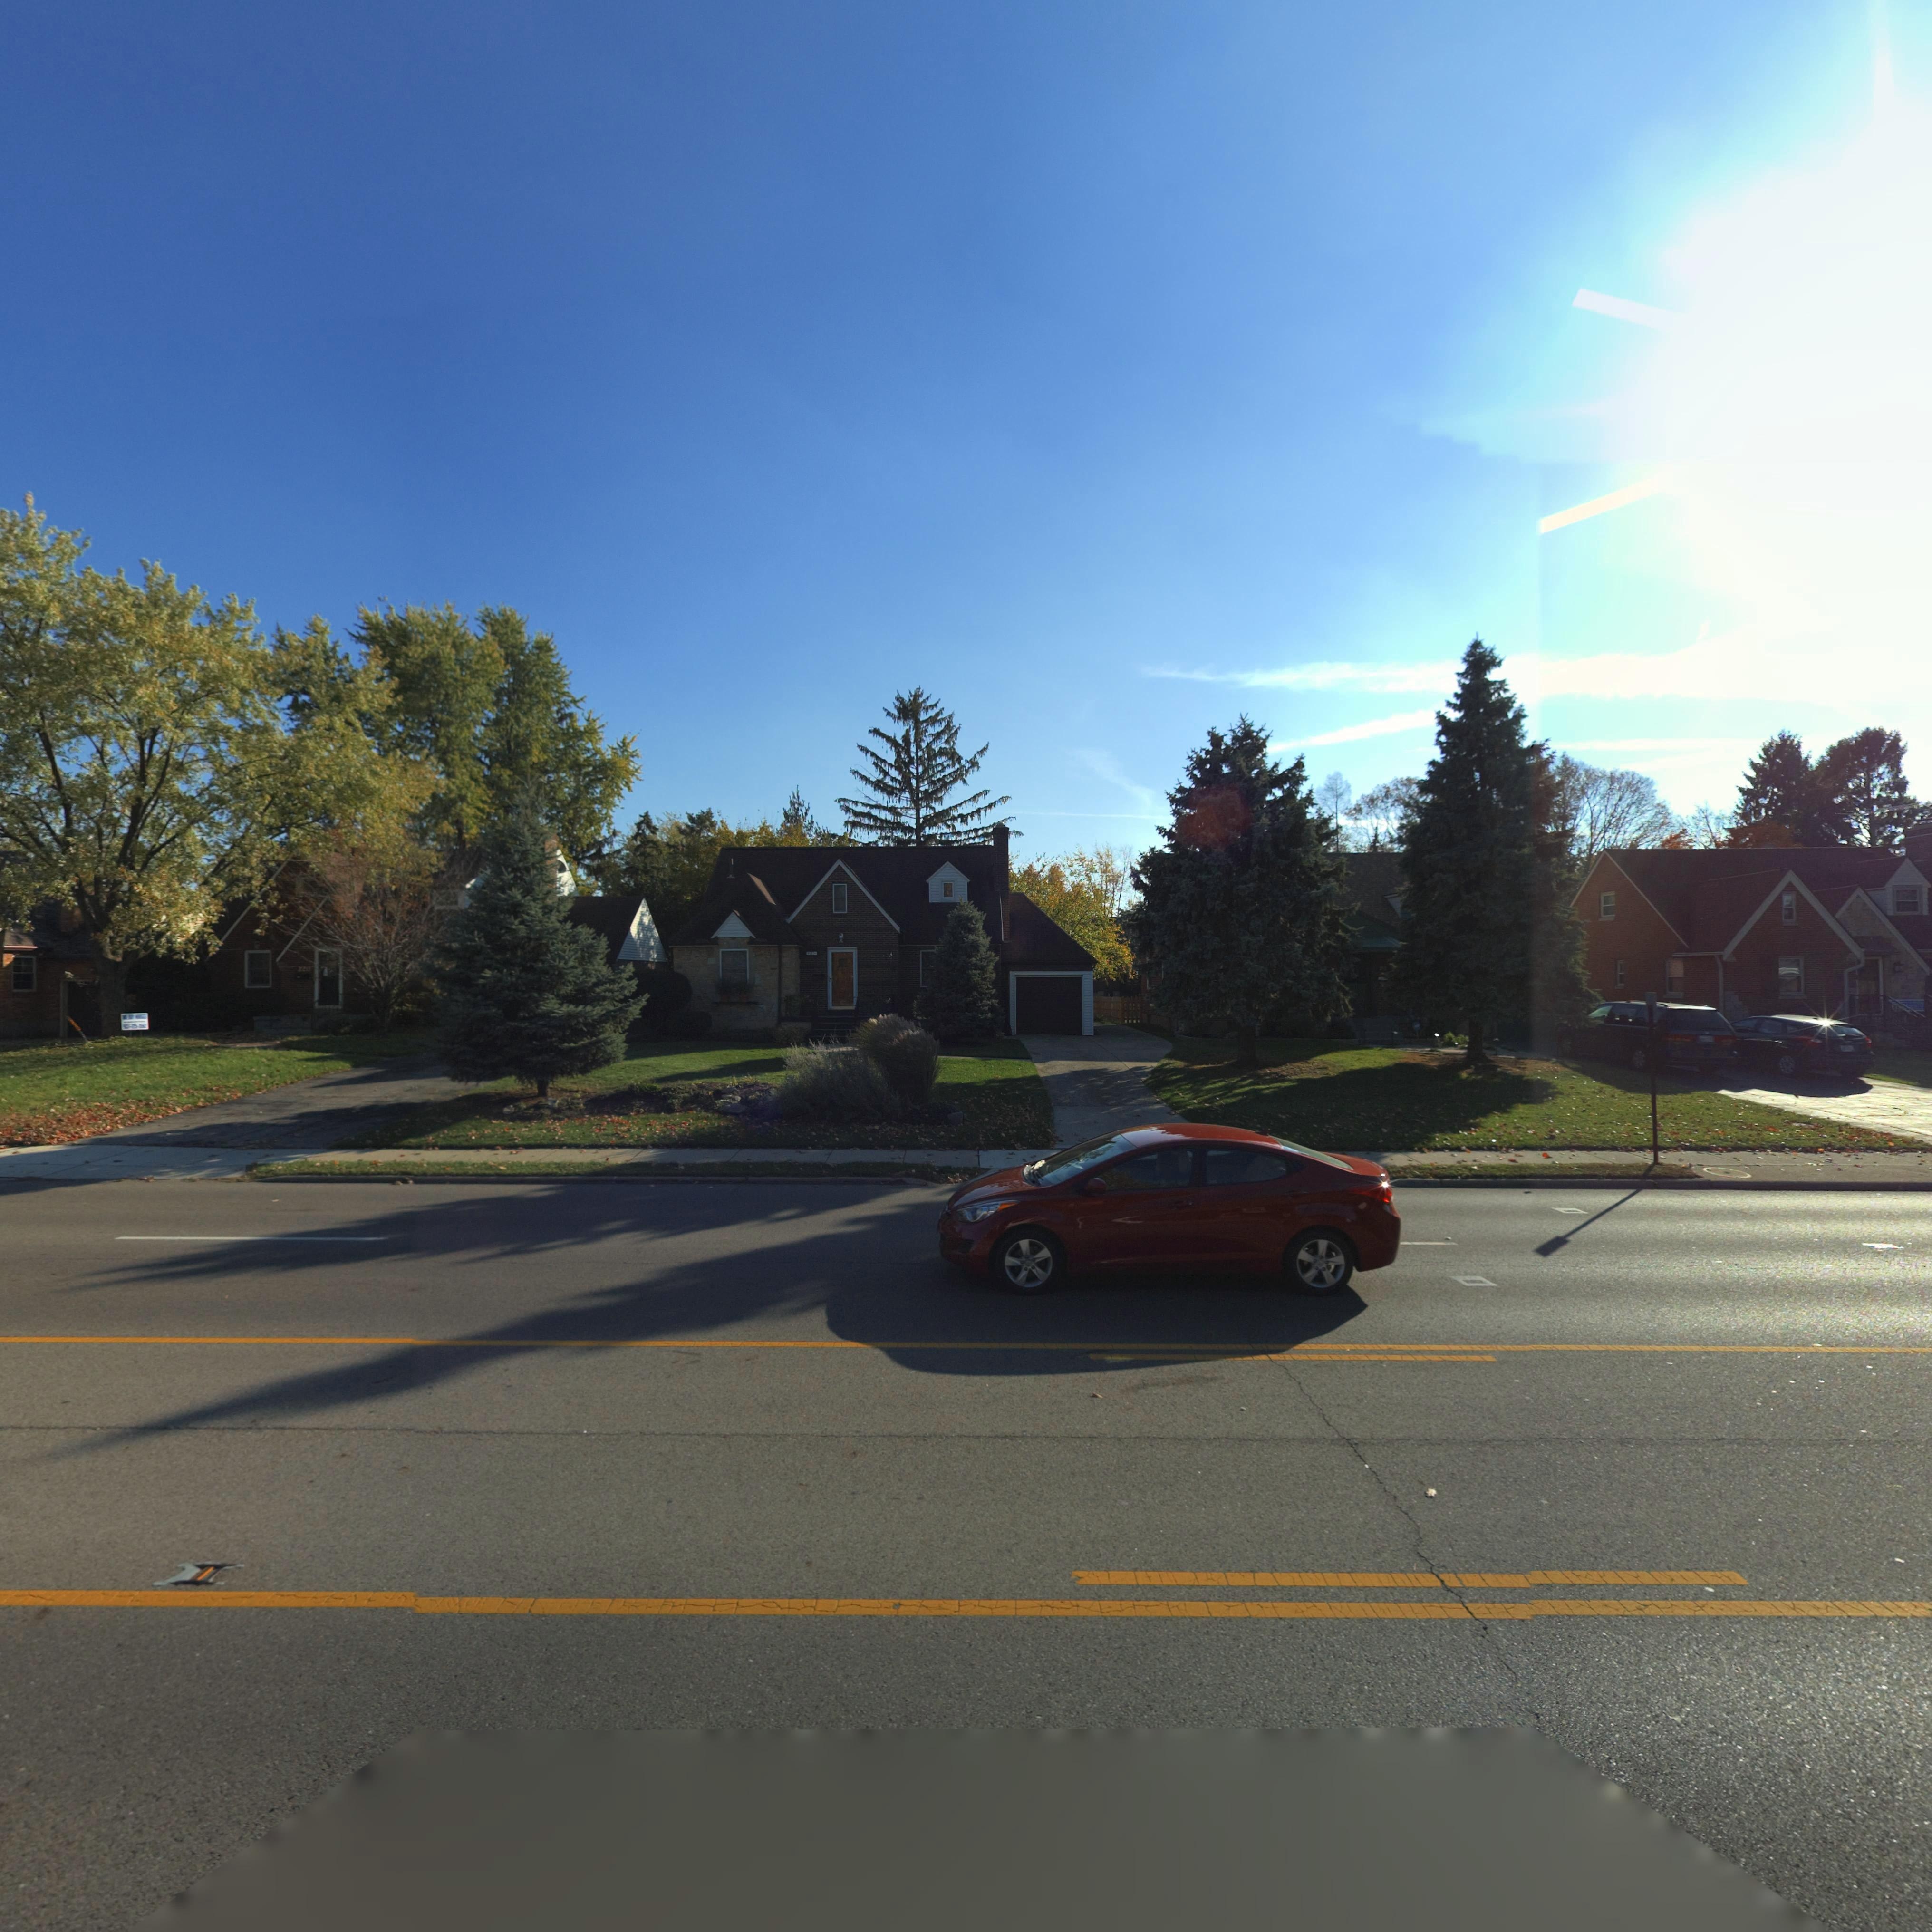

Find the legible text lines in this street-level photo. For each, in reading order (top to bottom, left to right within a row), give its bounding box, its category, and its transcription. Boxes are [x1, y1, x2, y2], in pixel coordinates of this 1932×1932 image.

[296, 965, 312, 973] StreetNumber: 220